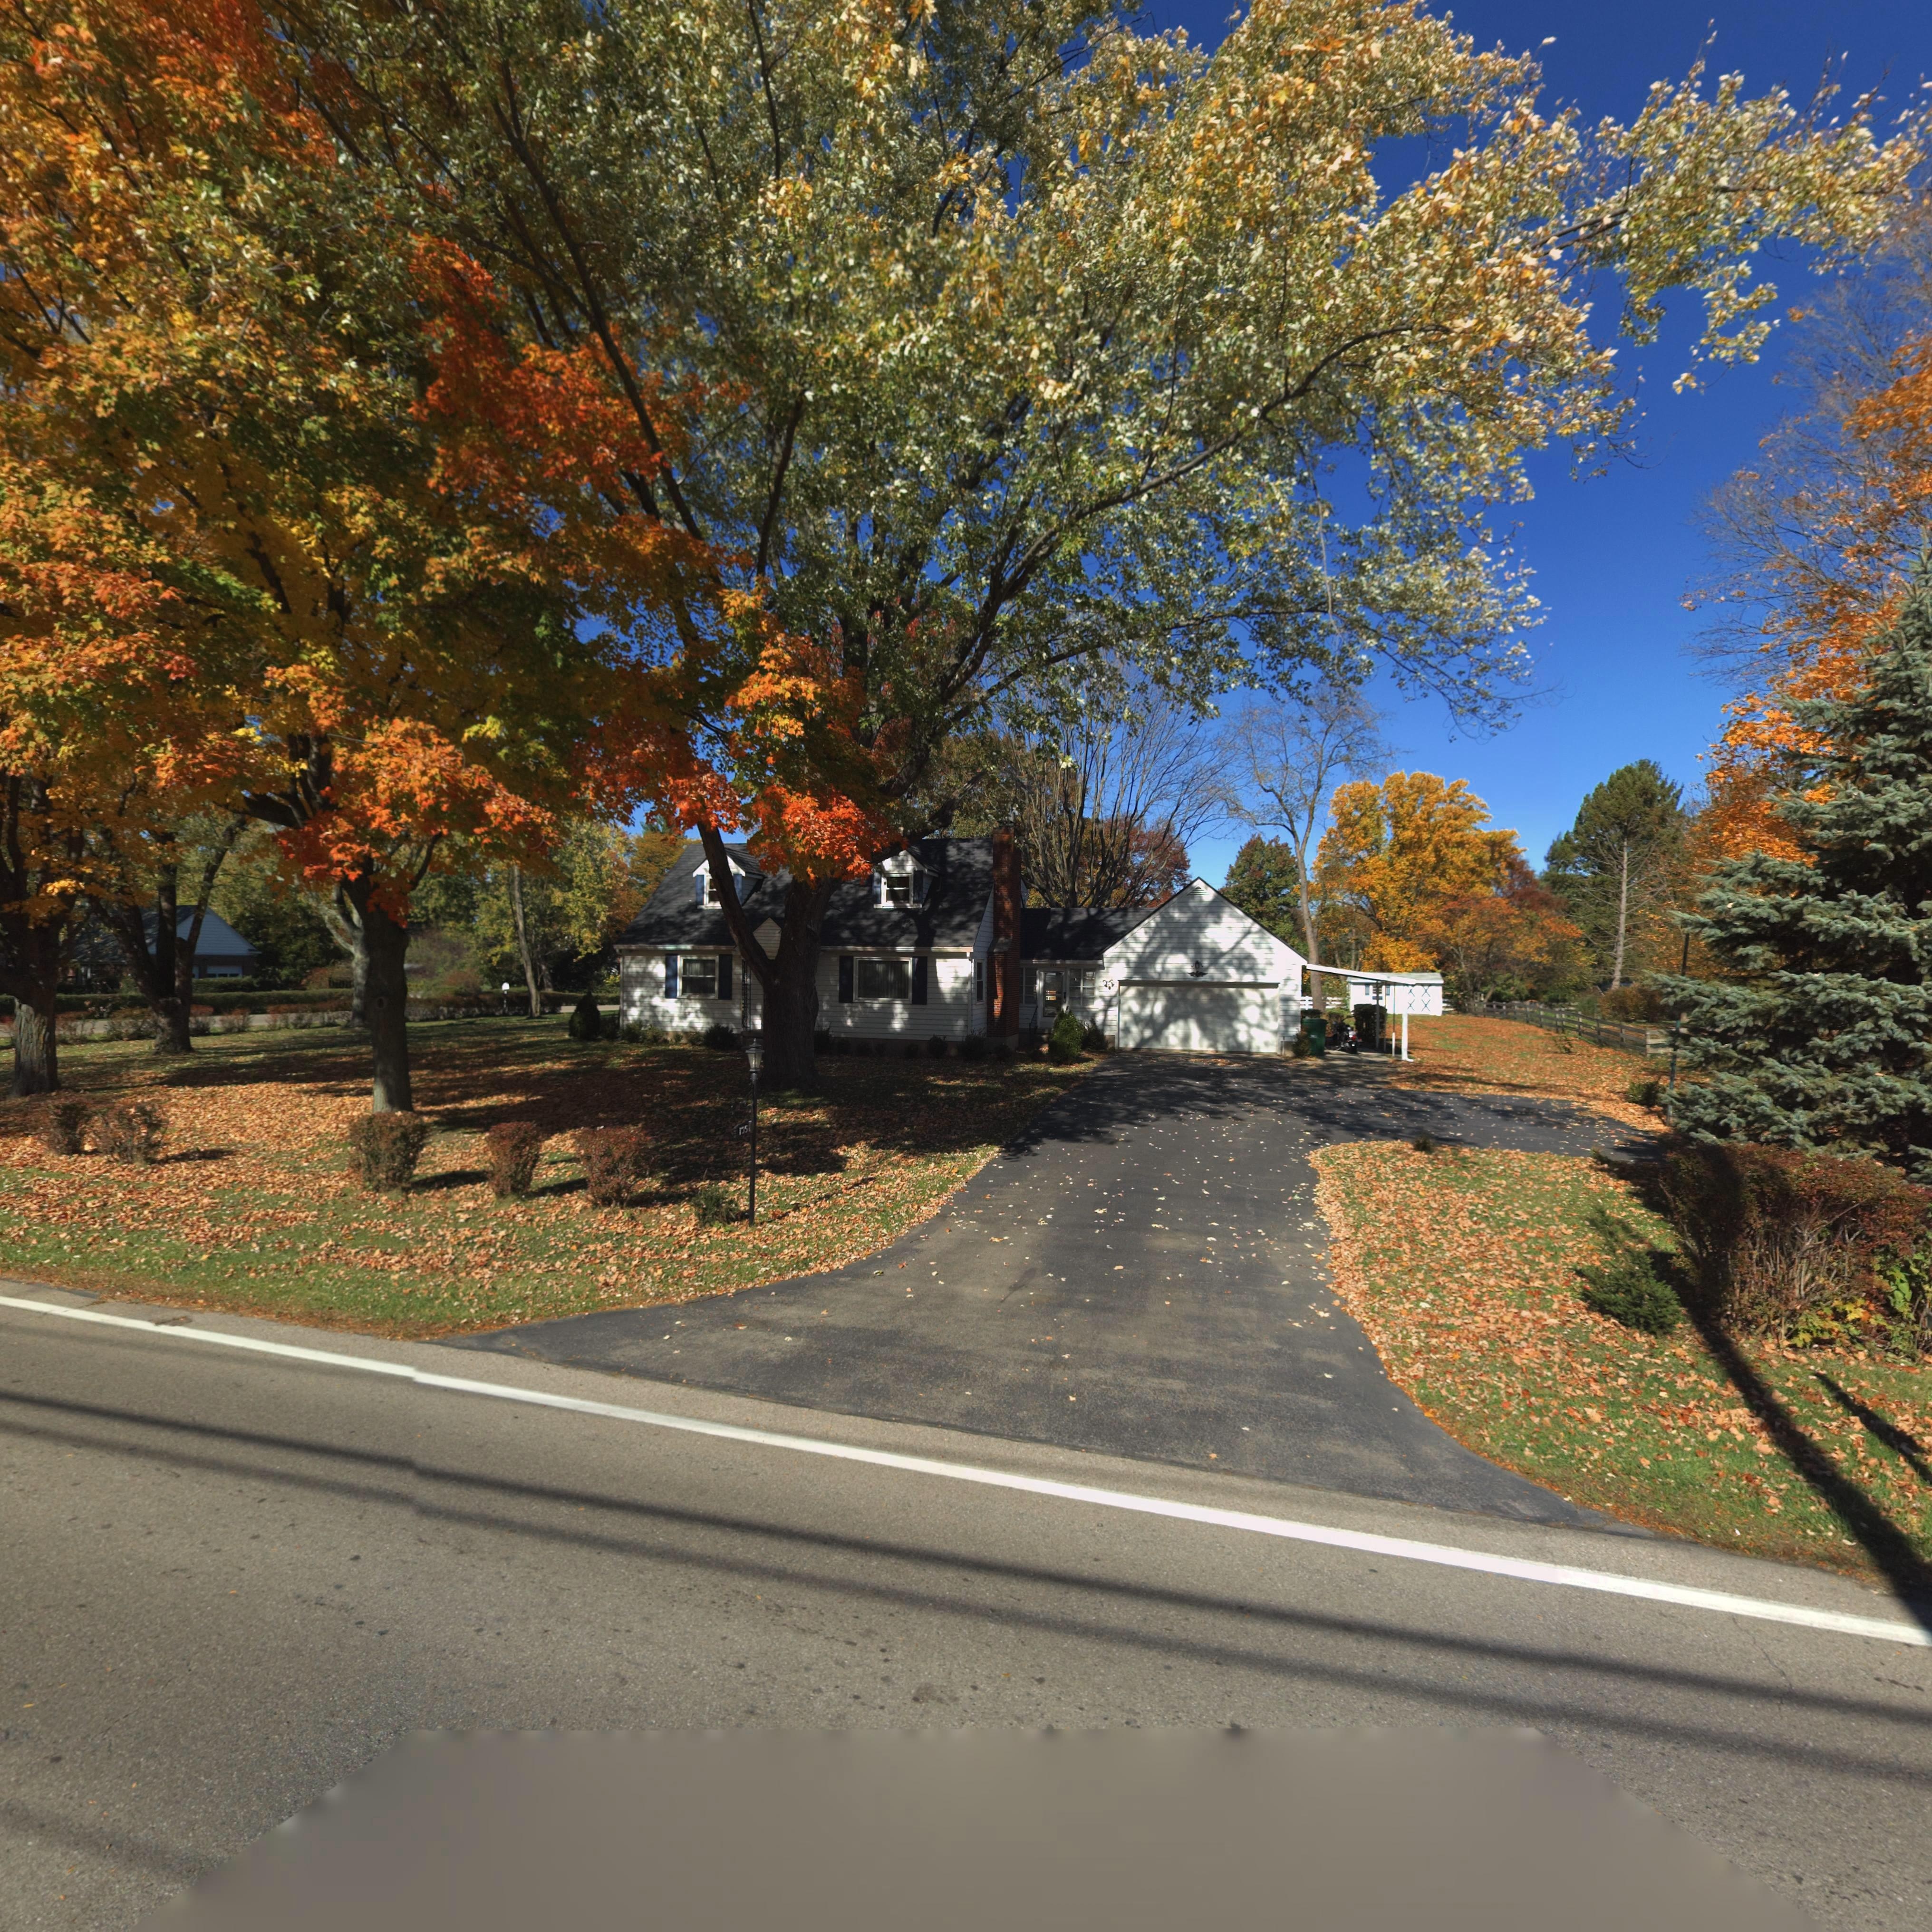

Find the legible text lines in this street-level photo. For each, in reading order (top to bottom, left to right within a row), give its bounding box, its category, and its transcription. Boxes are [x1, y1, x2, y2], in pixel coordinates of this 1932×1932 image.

[738, 1124, 749, 1137] StreetNumber: 1*5